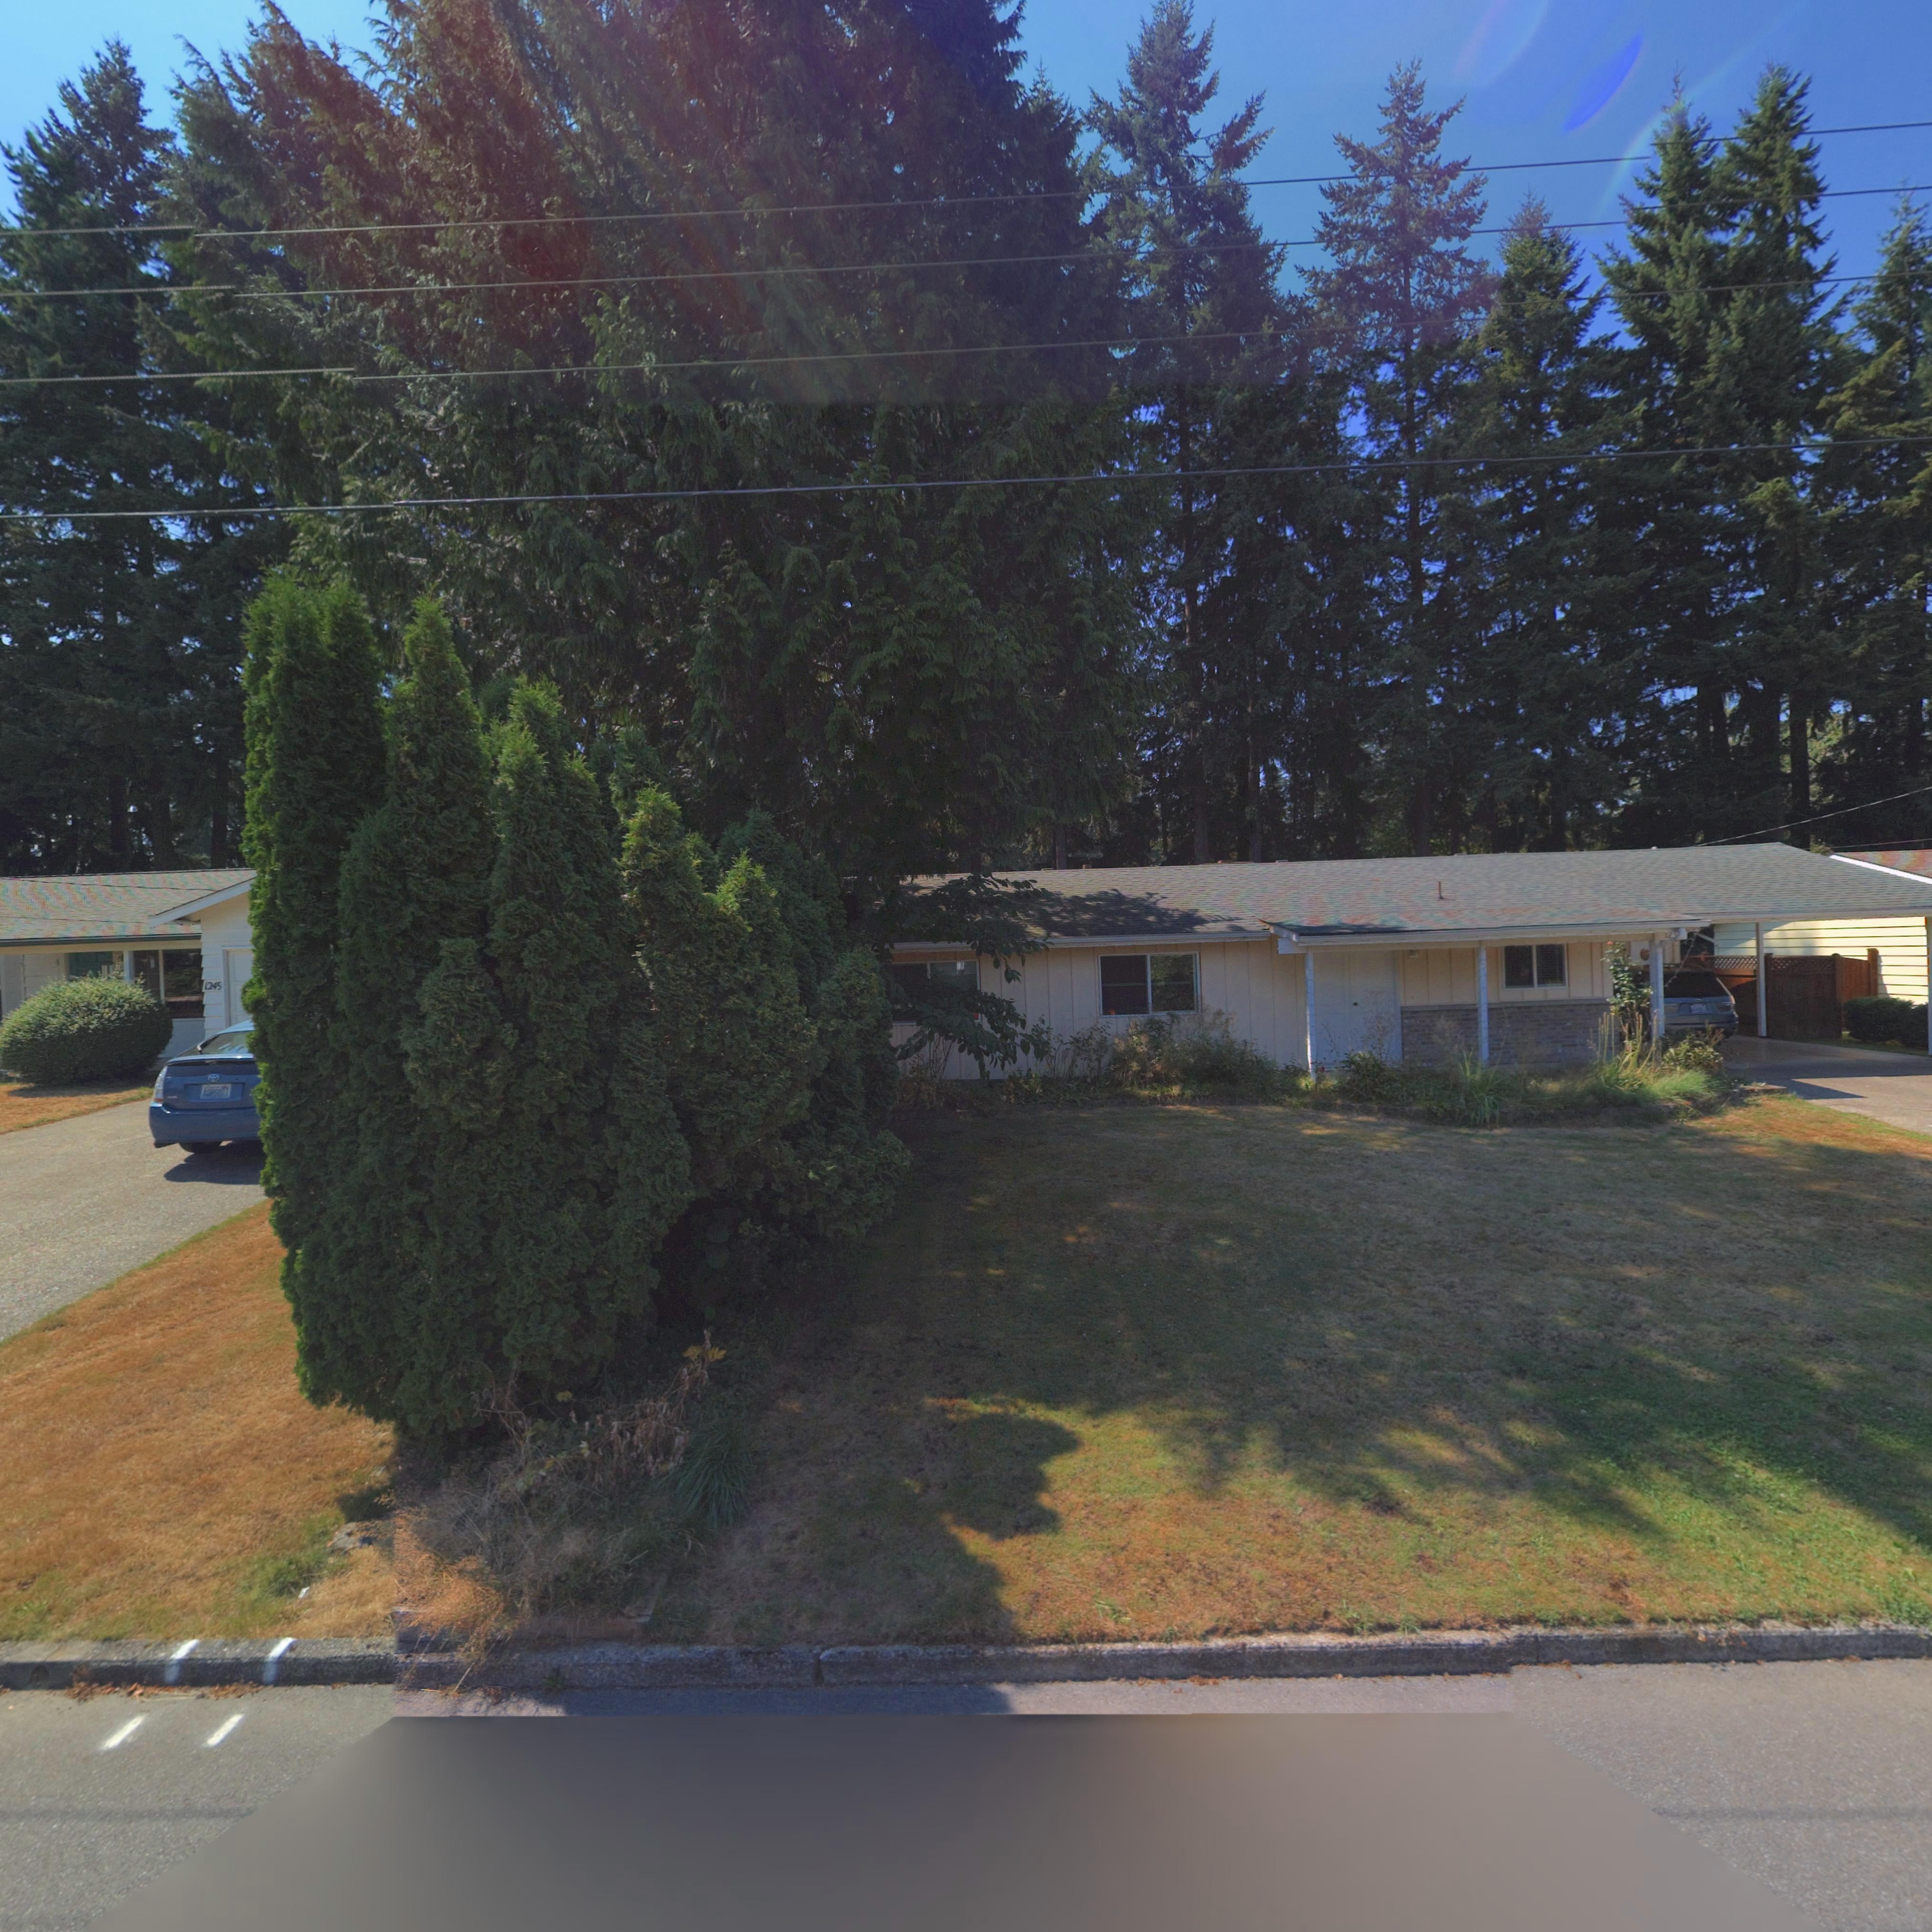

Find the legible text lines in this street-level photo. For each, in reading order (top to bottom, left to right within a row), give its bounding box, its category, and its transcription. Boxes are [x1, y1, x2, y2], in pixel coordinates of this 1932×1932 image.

[204, 981, 222, 991] StreetNumber: 124*